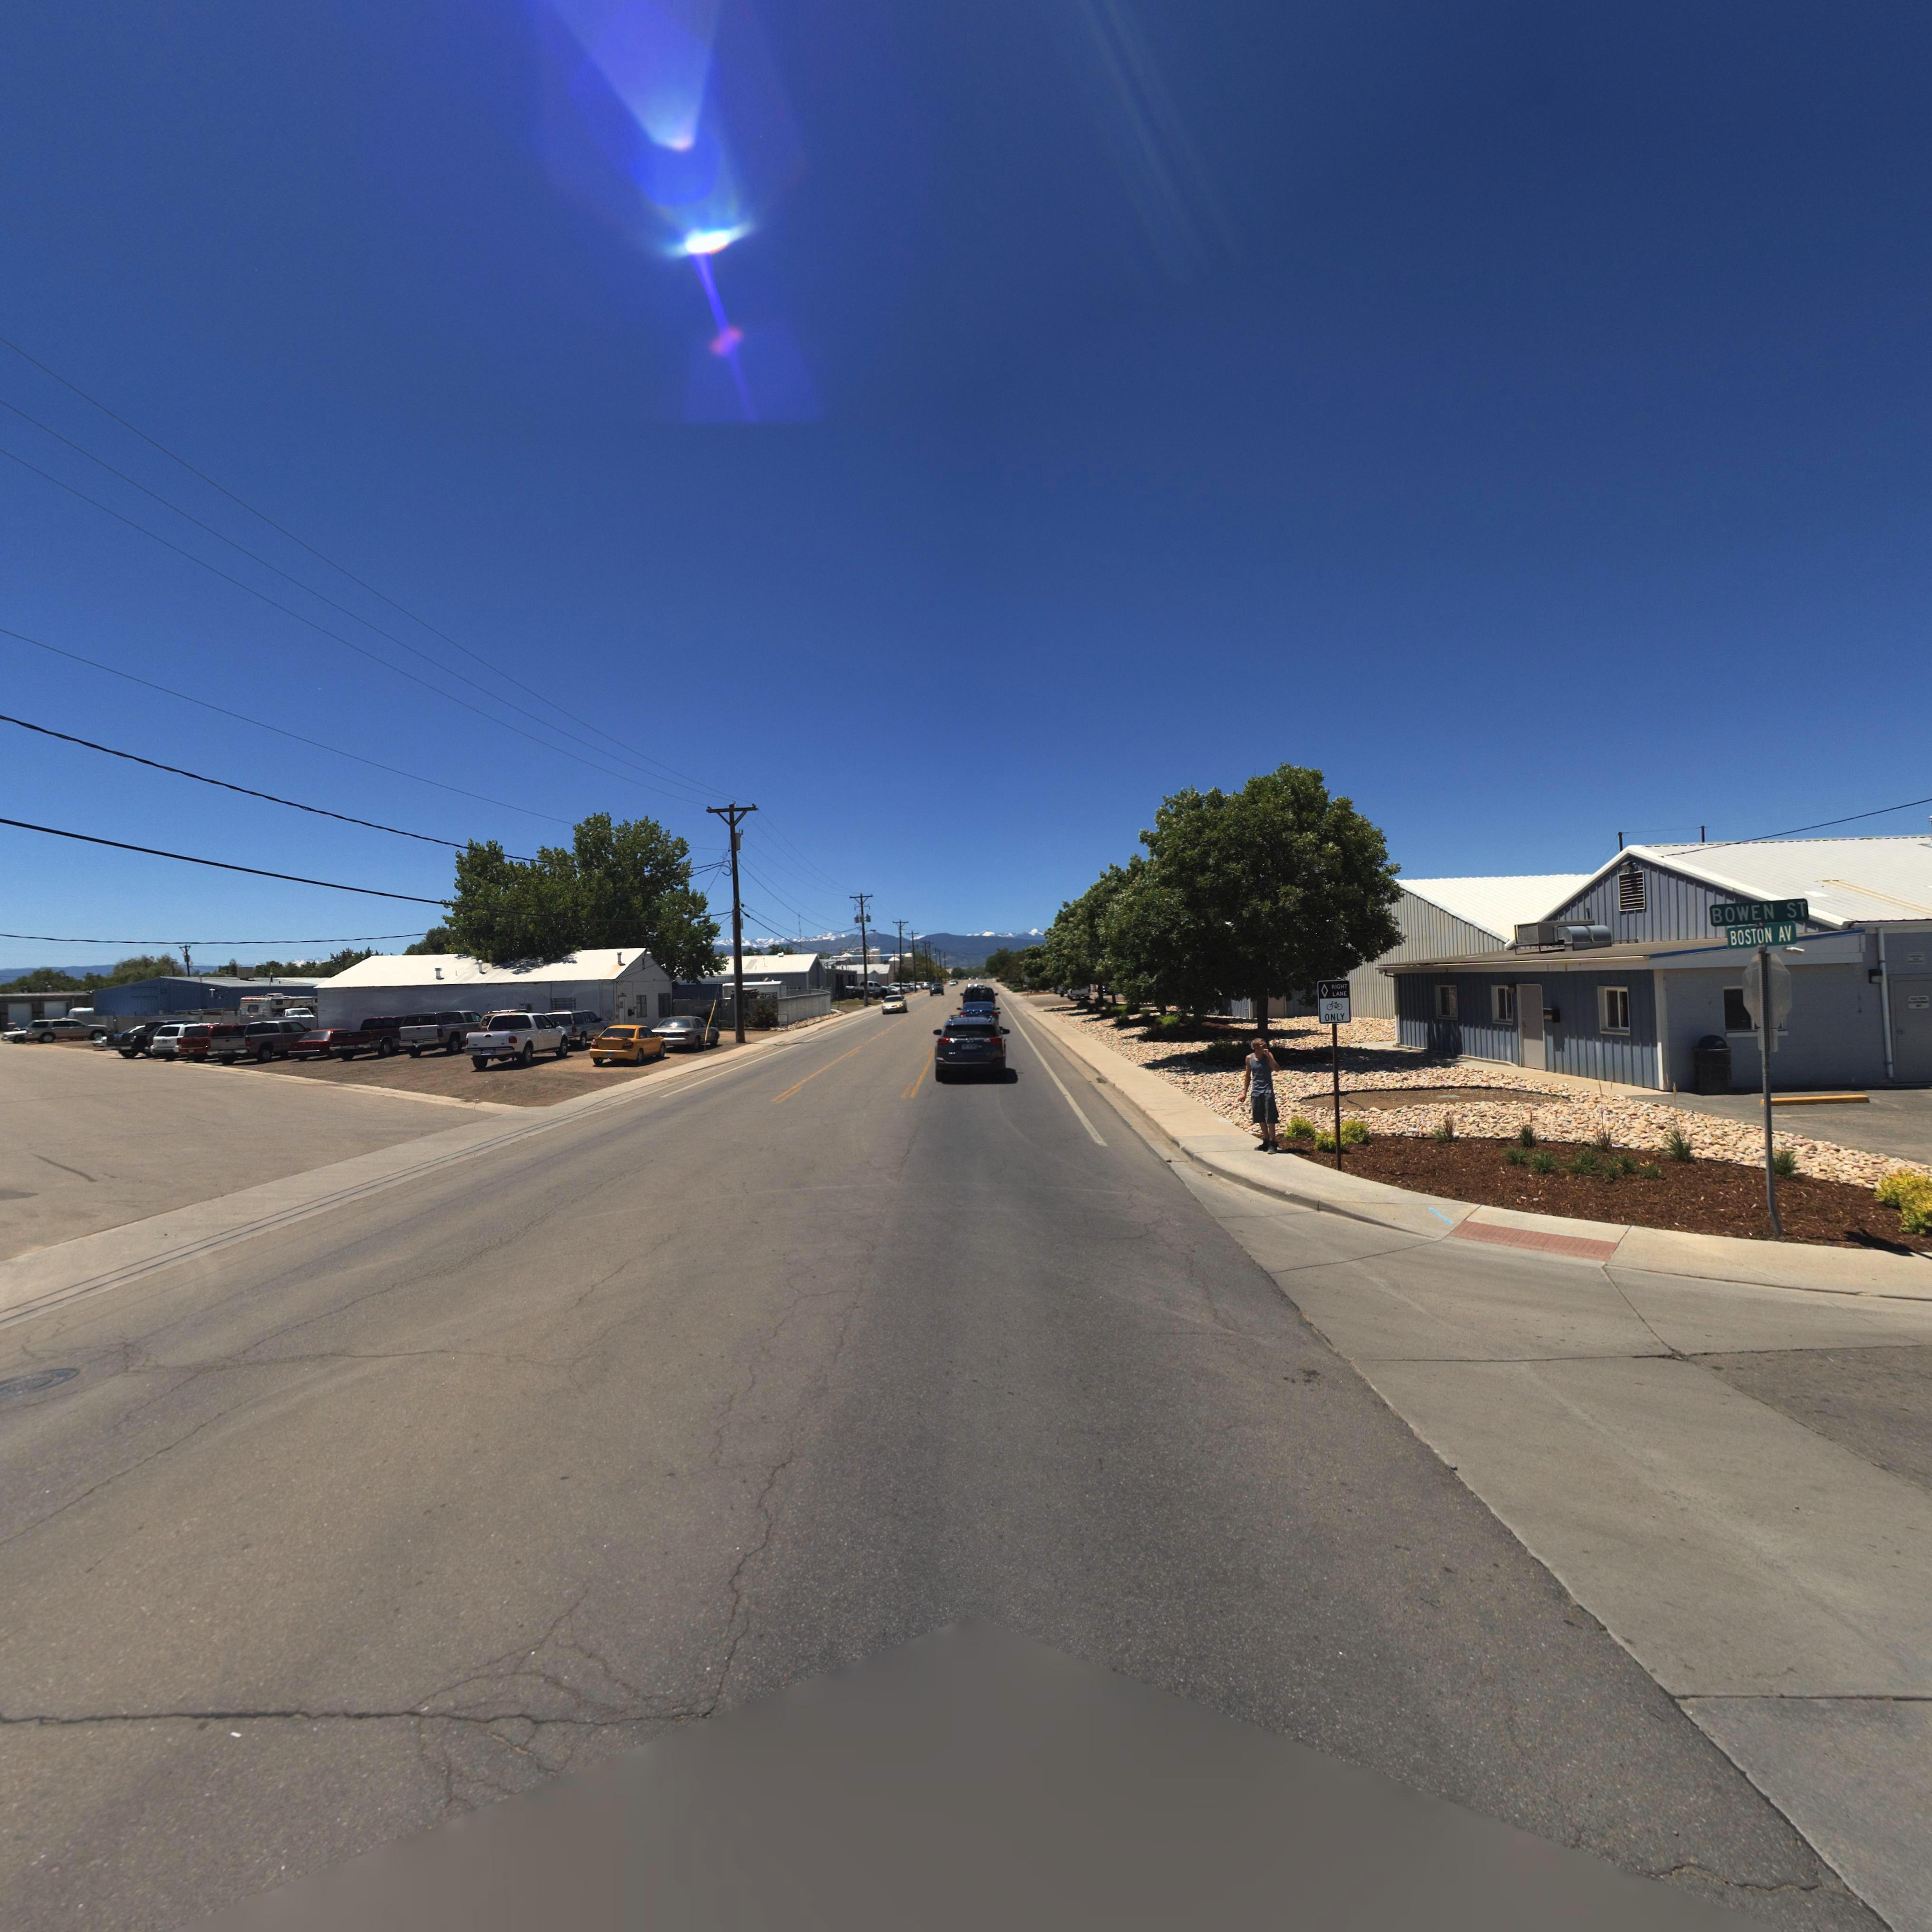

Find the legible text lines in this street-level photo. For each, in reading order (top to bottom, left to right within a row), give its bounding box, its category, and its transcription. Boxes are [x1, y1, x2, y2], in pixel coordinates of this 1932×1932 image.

[1712, 901, 1806, 924] StreetName: BOWEN ST
[1729, 925, 1792, 946] StreetName: BOSTON AV